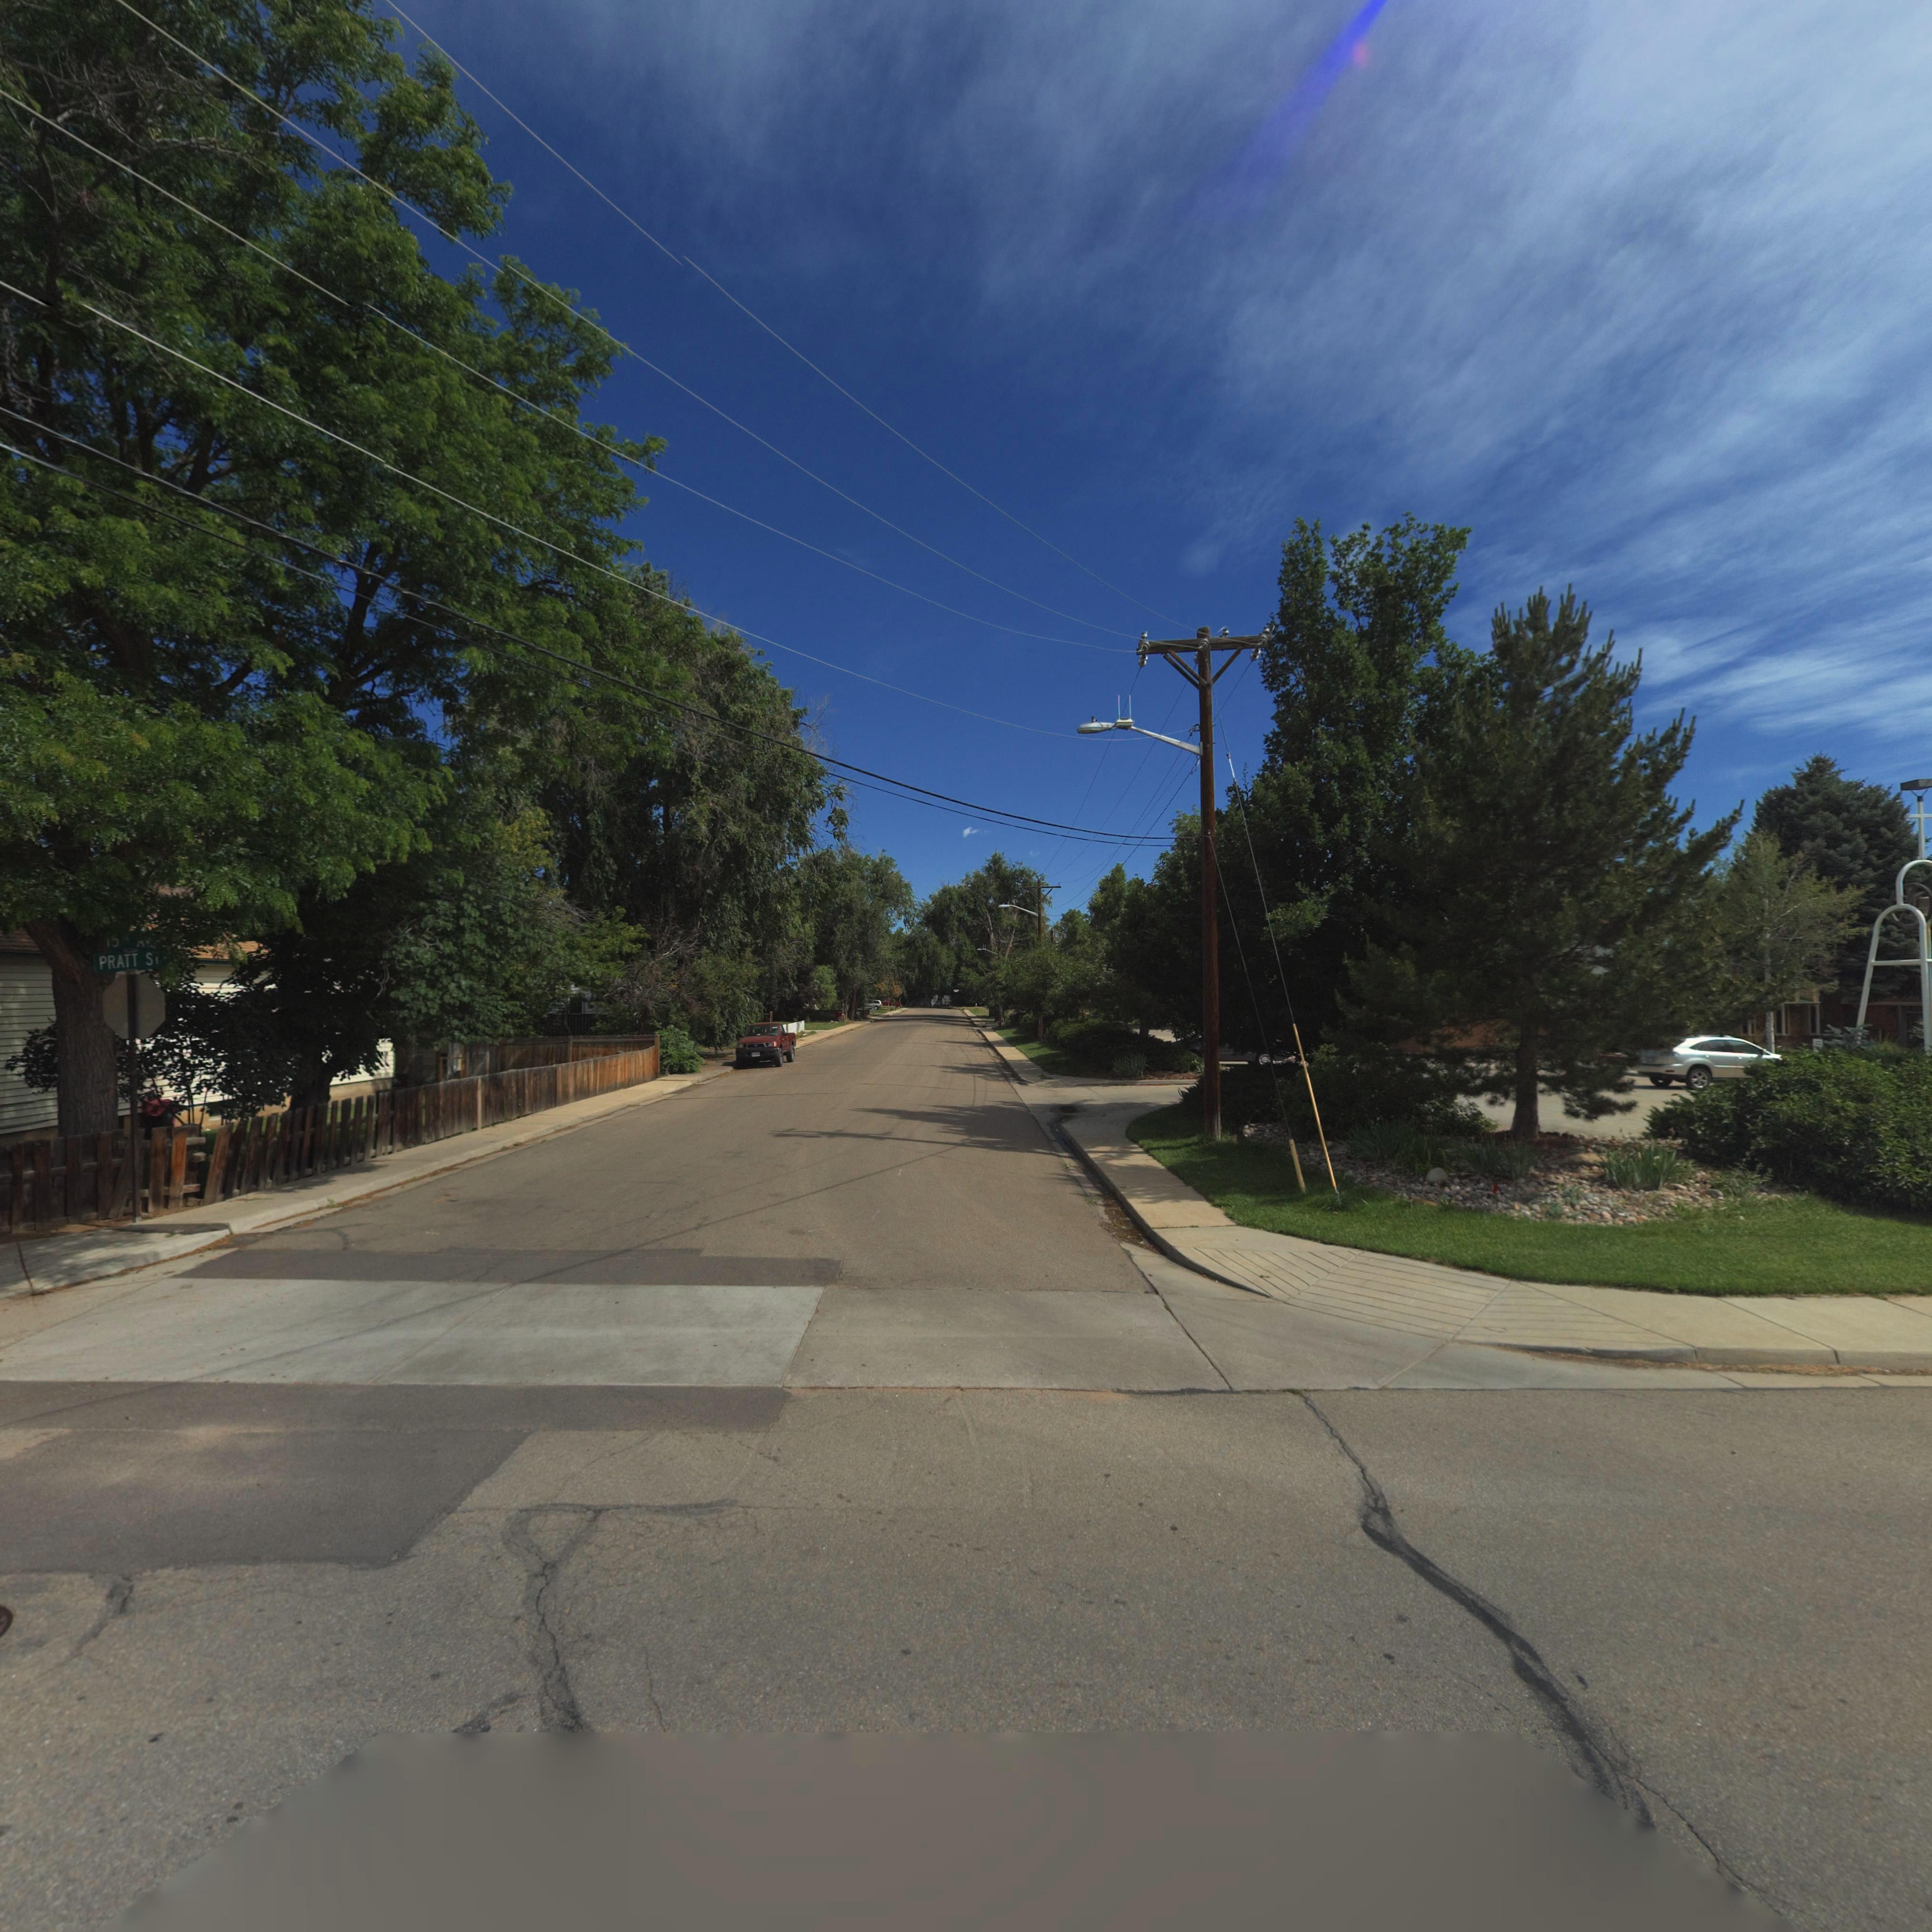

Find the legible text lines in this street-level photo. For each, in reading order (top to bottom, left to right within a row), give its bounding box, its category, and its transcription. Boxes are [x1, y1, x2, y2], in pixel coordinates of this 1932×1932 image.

[98, 951, 163, 971] StreetName: PRATT S*